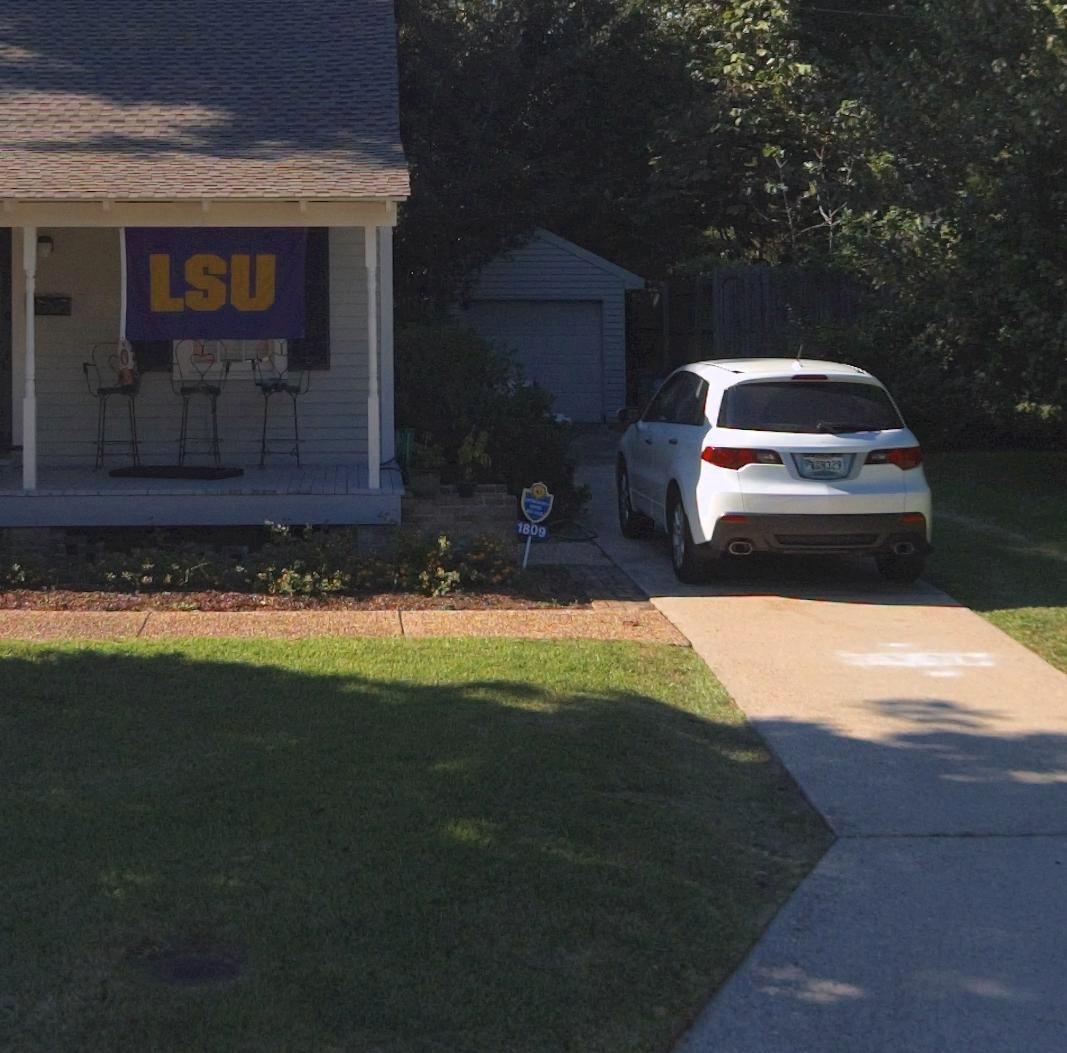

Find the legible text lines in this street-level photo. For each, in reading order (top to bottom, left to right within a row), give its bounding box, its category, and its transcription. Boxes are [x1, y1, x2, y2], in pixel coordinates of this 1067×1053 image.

[145, 249, 281, 315] None: LSU
[514, 519, 549, 541] StreetNumber: 1809